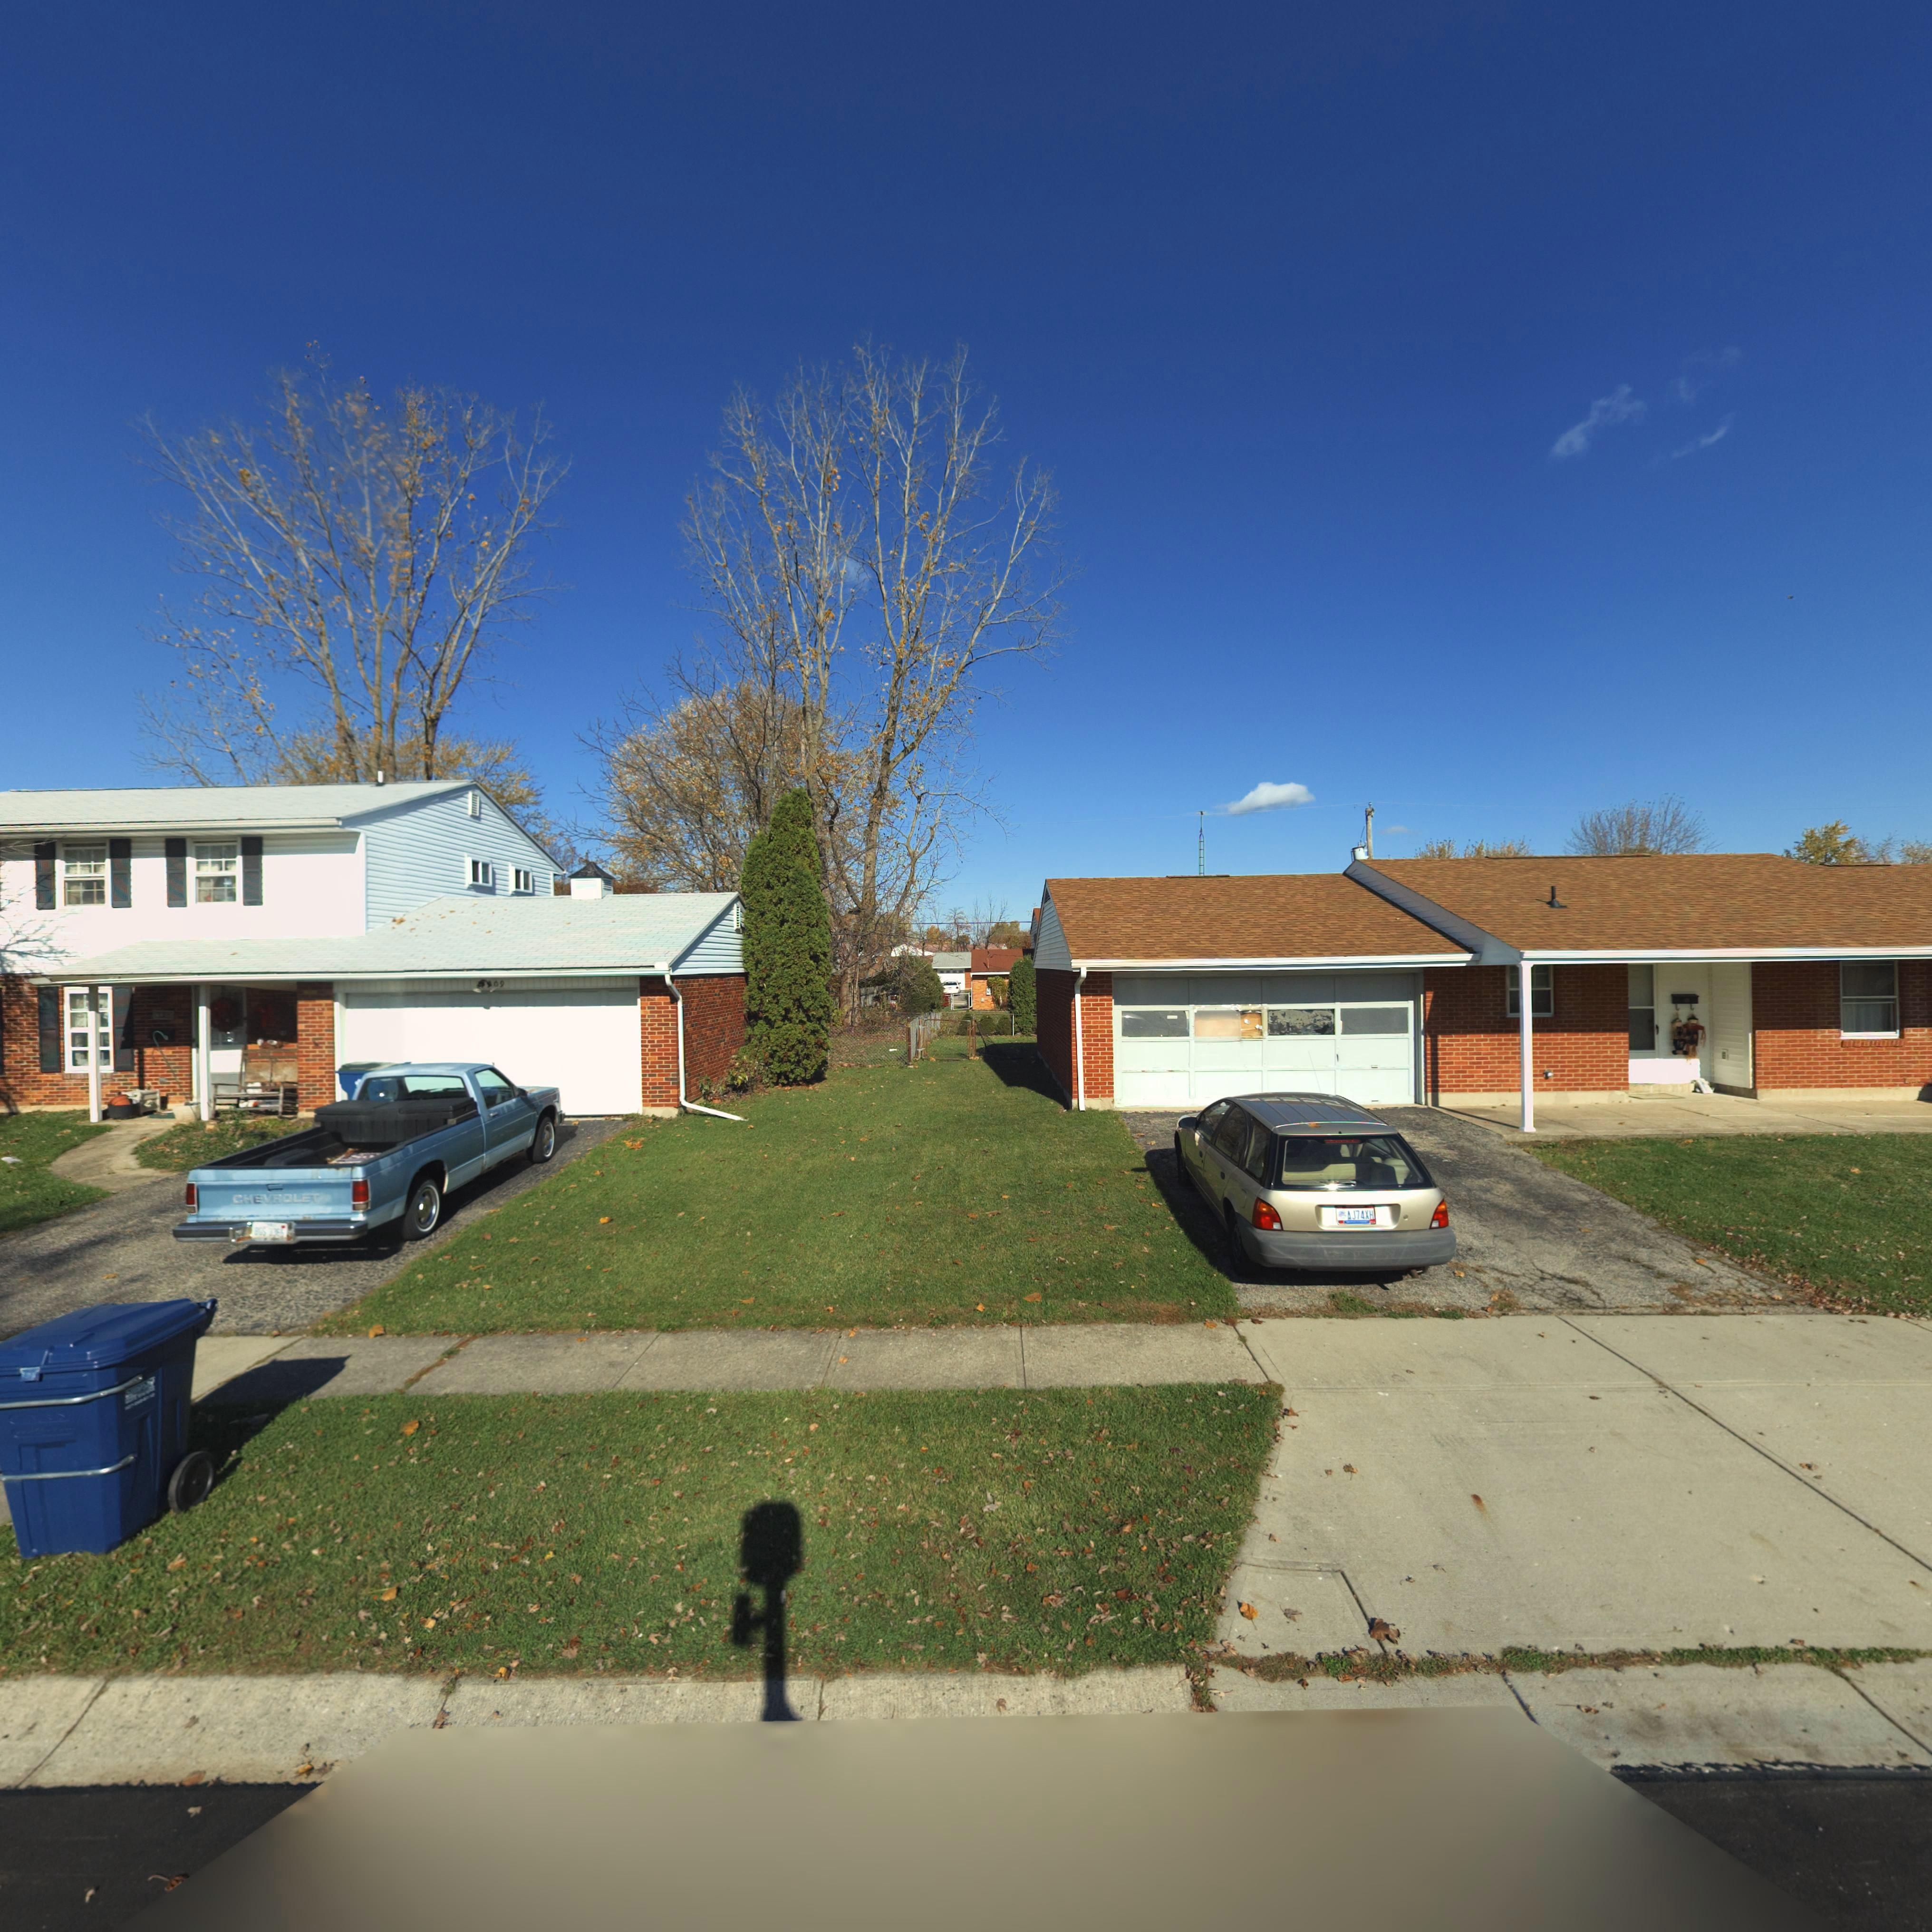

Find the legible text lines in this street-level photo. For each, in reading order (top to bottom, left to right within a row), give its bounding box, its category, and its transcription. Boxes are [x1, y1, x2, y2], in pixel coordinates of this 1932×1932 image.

[493, 980, 505, 988] StreetNumber: 09